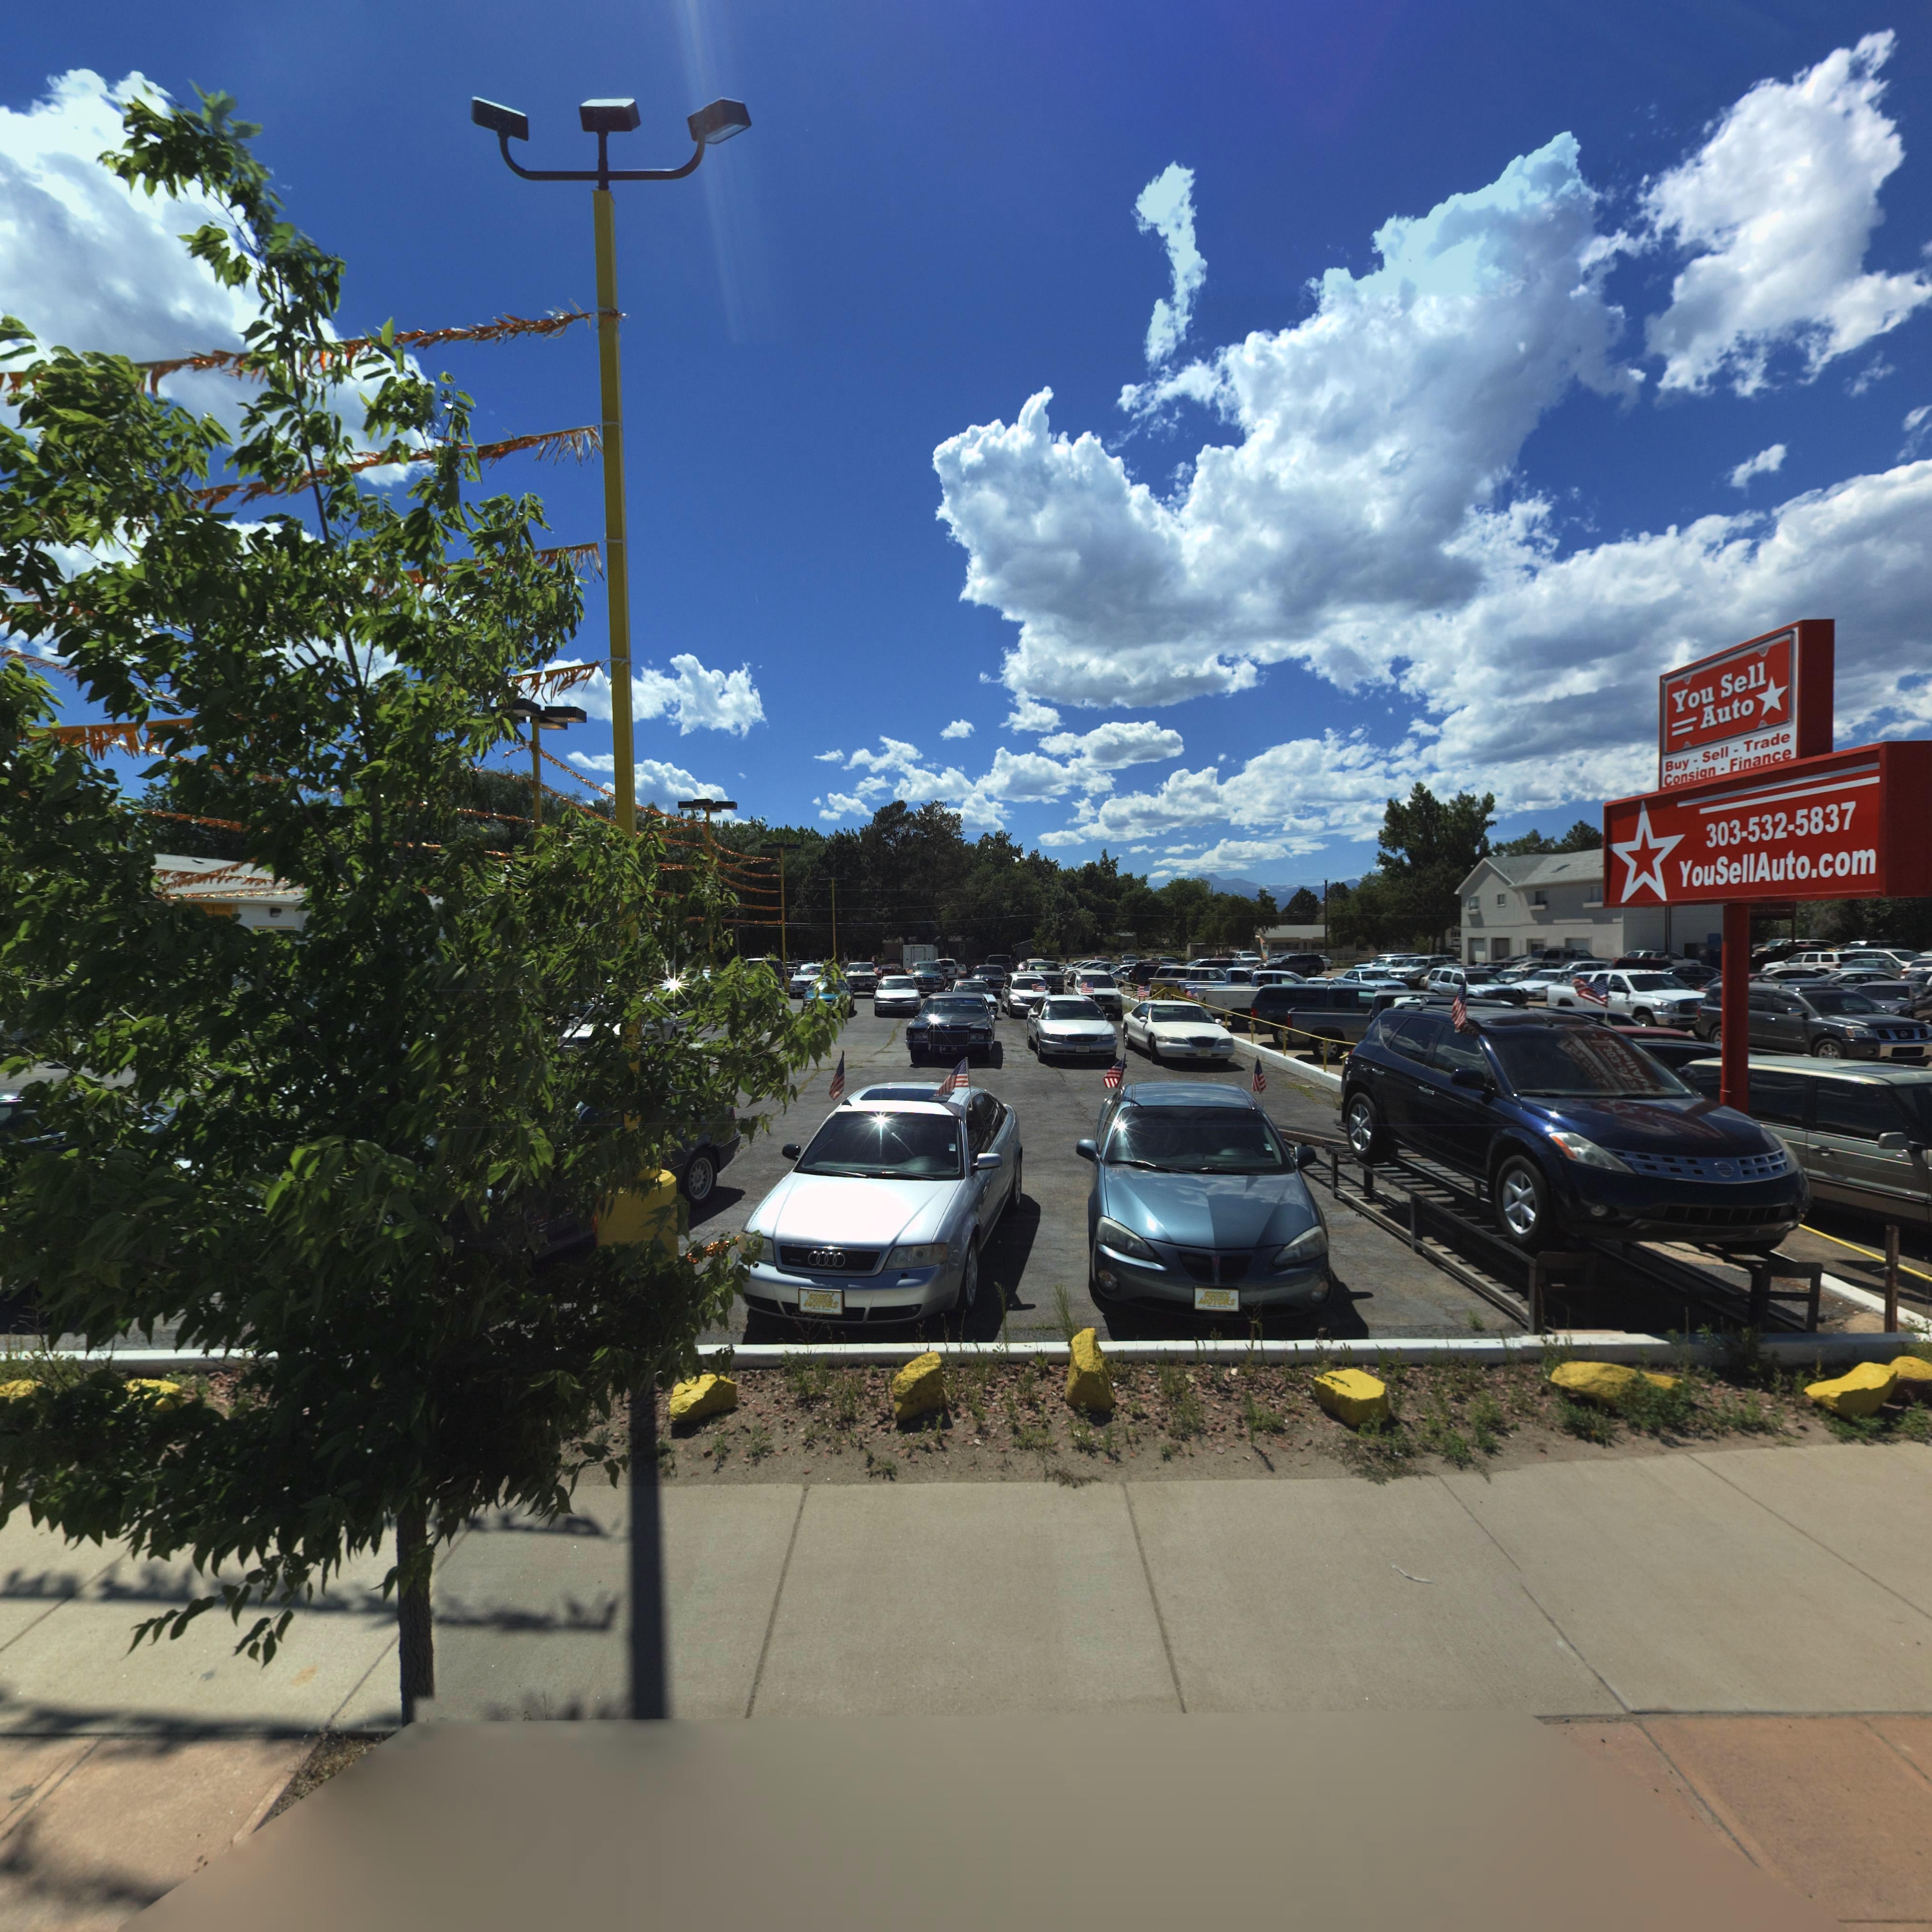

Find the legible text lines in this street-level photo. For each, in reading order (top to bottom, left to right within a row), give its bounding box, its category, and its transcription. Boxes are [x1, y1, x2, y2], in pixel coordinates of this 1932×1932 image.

[1671, 660, 1767, 714] BusinessName: You Sell
[1700, 697, 1754, 730] BusinessName: Auto